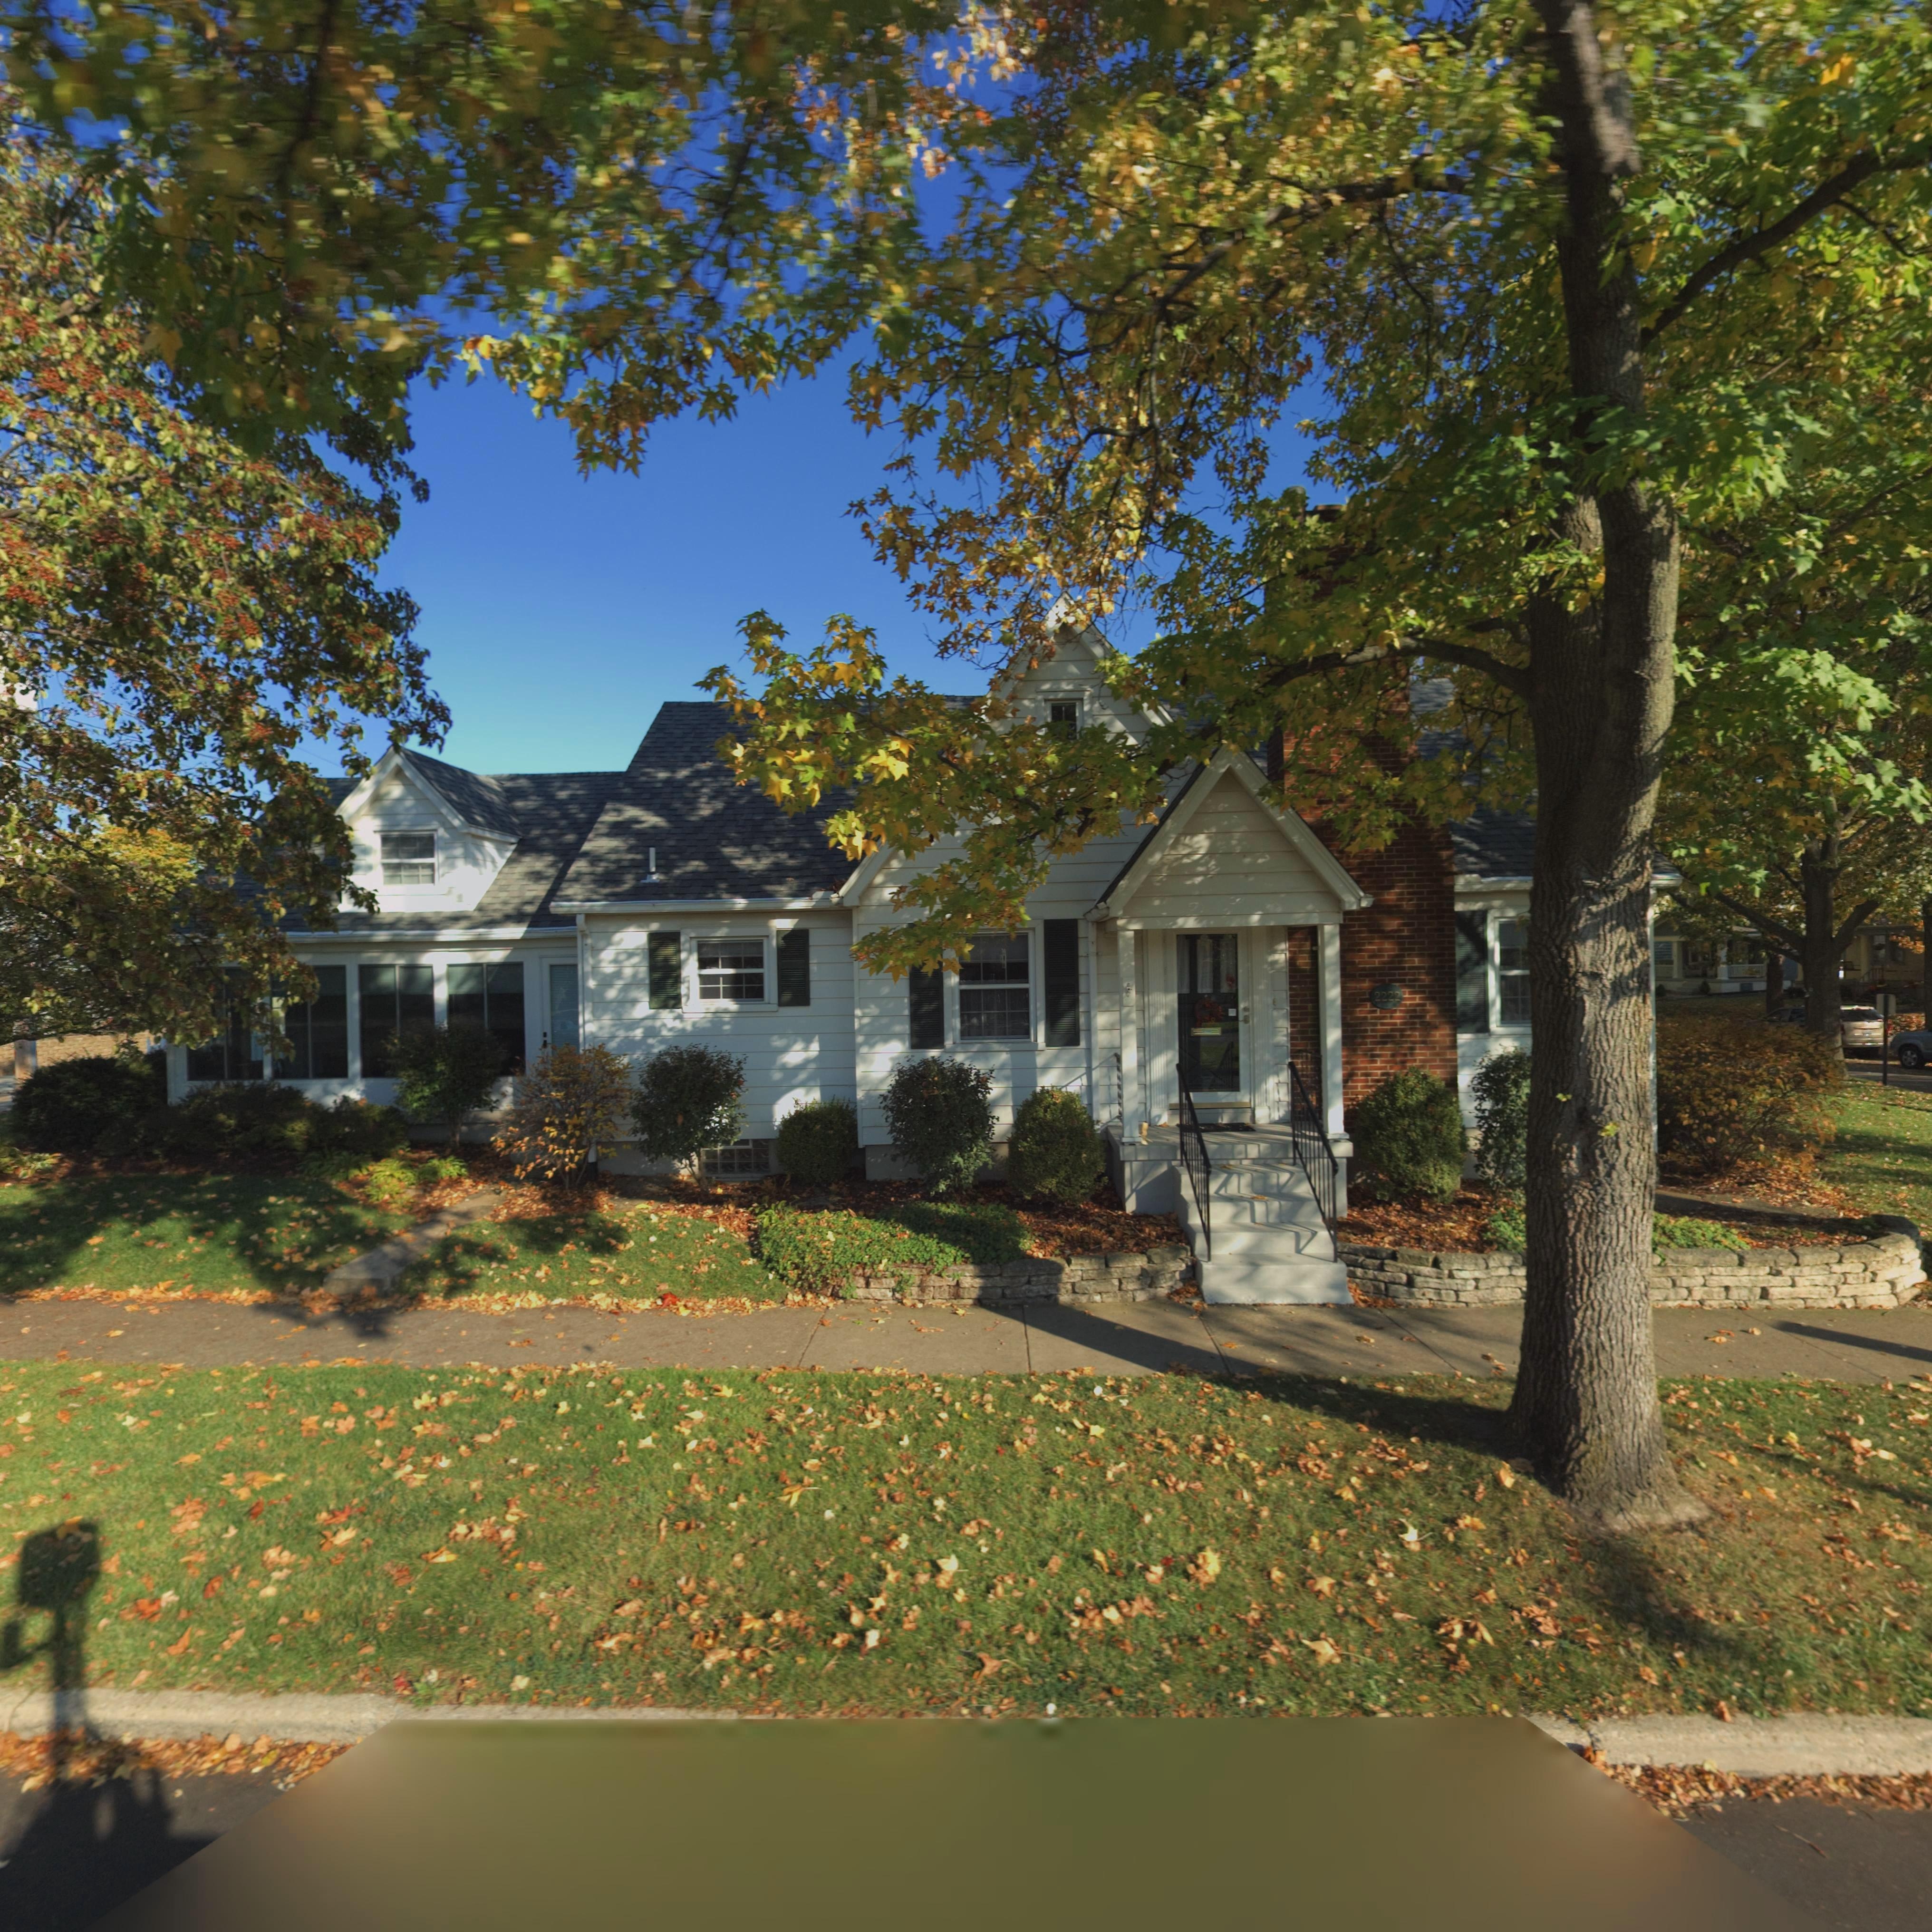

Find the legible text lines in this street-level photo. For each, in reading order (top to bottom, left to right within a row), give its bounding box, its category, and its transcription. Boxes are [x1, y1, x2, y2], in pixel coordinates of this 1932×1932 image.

[1372, 989, 1402, 1004] StreetNumber: 2222